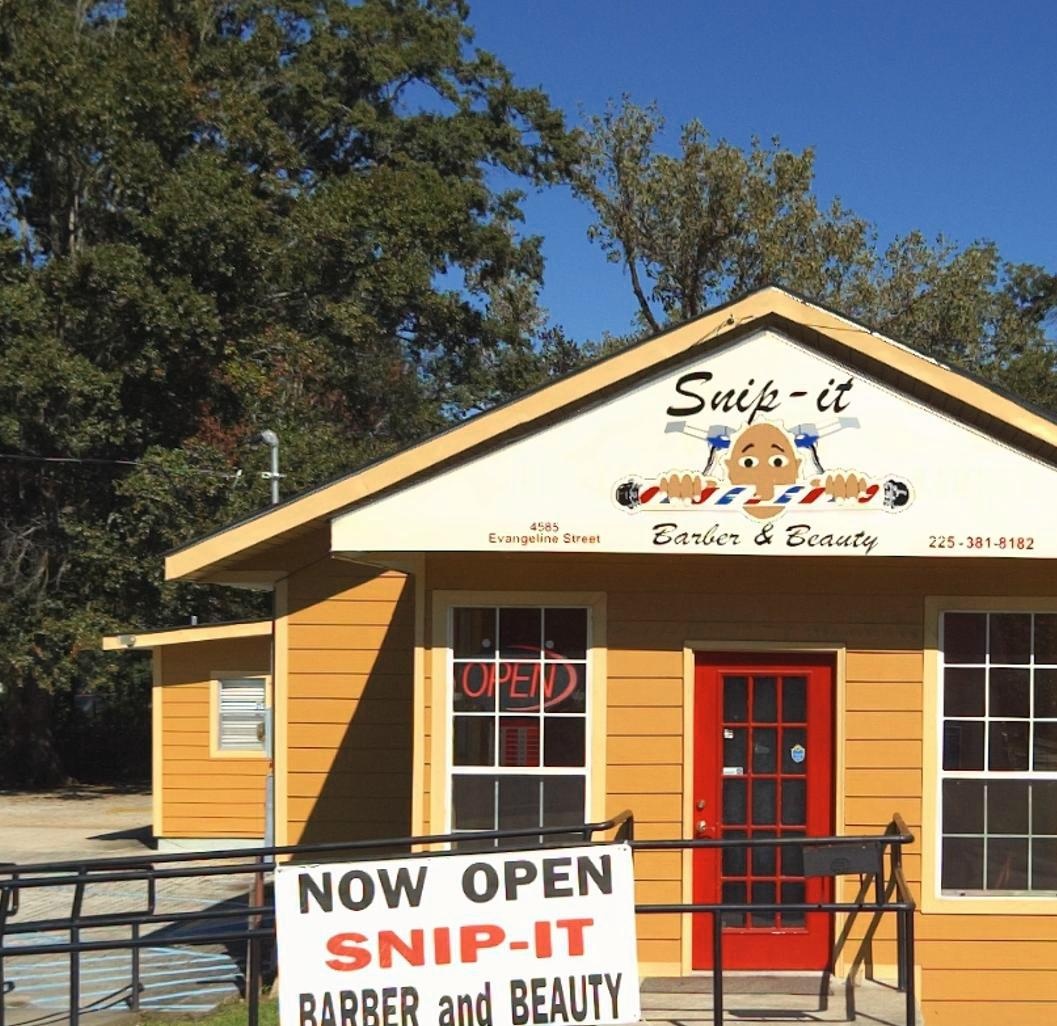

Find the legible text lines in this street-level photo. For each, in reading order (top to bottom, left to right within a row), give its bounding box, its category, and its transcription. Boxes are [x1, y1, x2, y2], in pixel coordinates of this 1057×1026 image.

[664, 370, 856, 426] BusinessName: Snip-it
[529, 522, 559, 532] StreetNumber: 4585
[488, 532, 602, 547] StreetName: Evangeline Street
[650, 521, 881, 557] BusinessName: Barber & Beauty
[928, 534, 1035, 550] None: 225-381-8182
[297, 853, 613, 916] None: NOW OPEN
[324, 917, 595, 973] BusinessName: SNIP-IT
[438, 978, 495, 1026] BusinessName: and
[507, 971, 624, 1026] BusinessName: BEAUTY